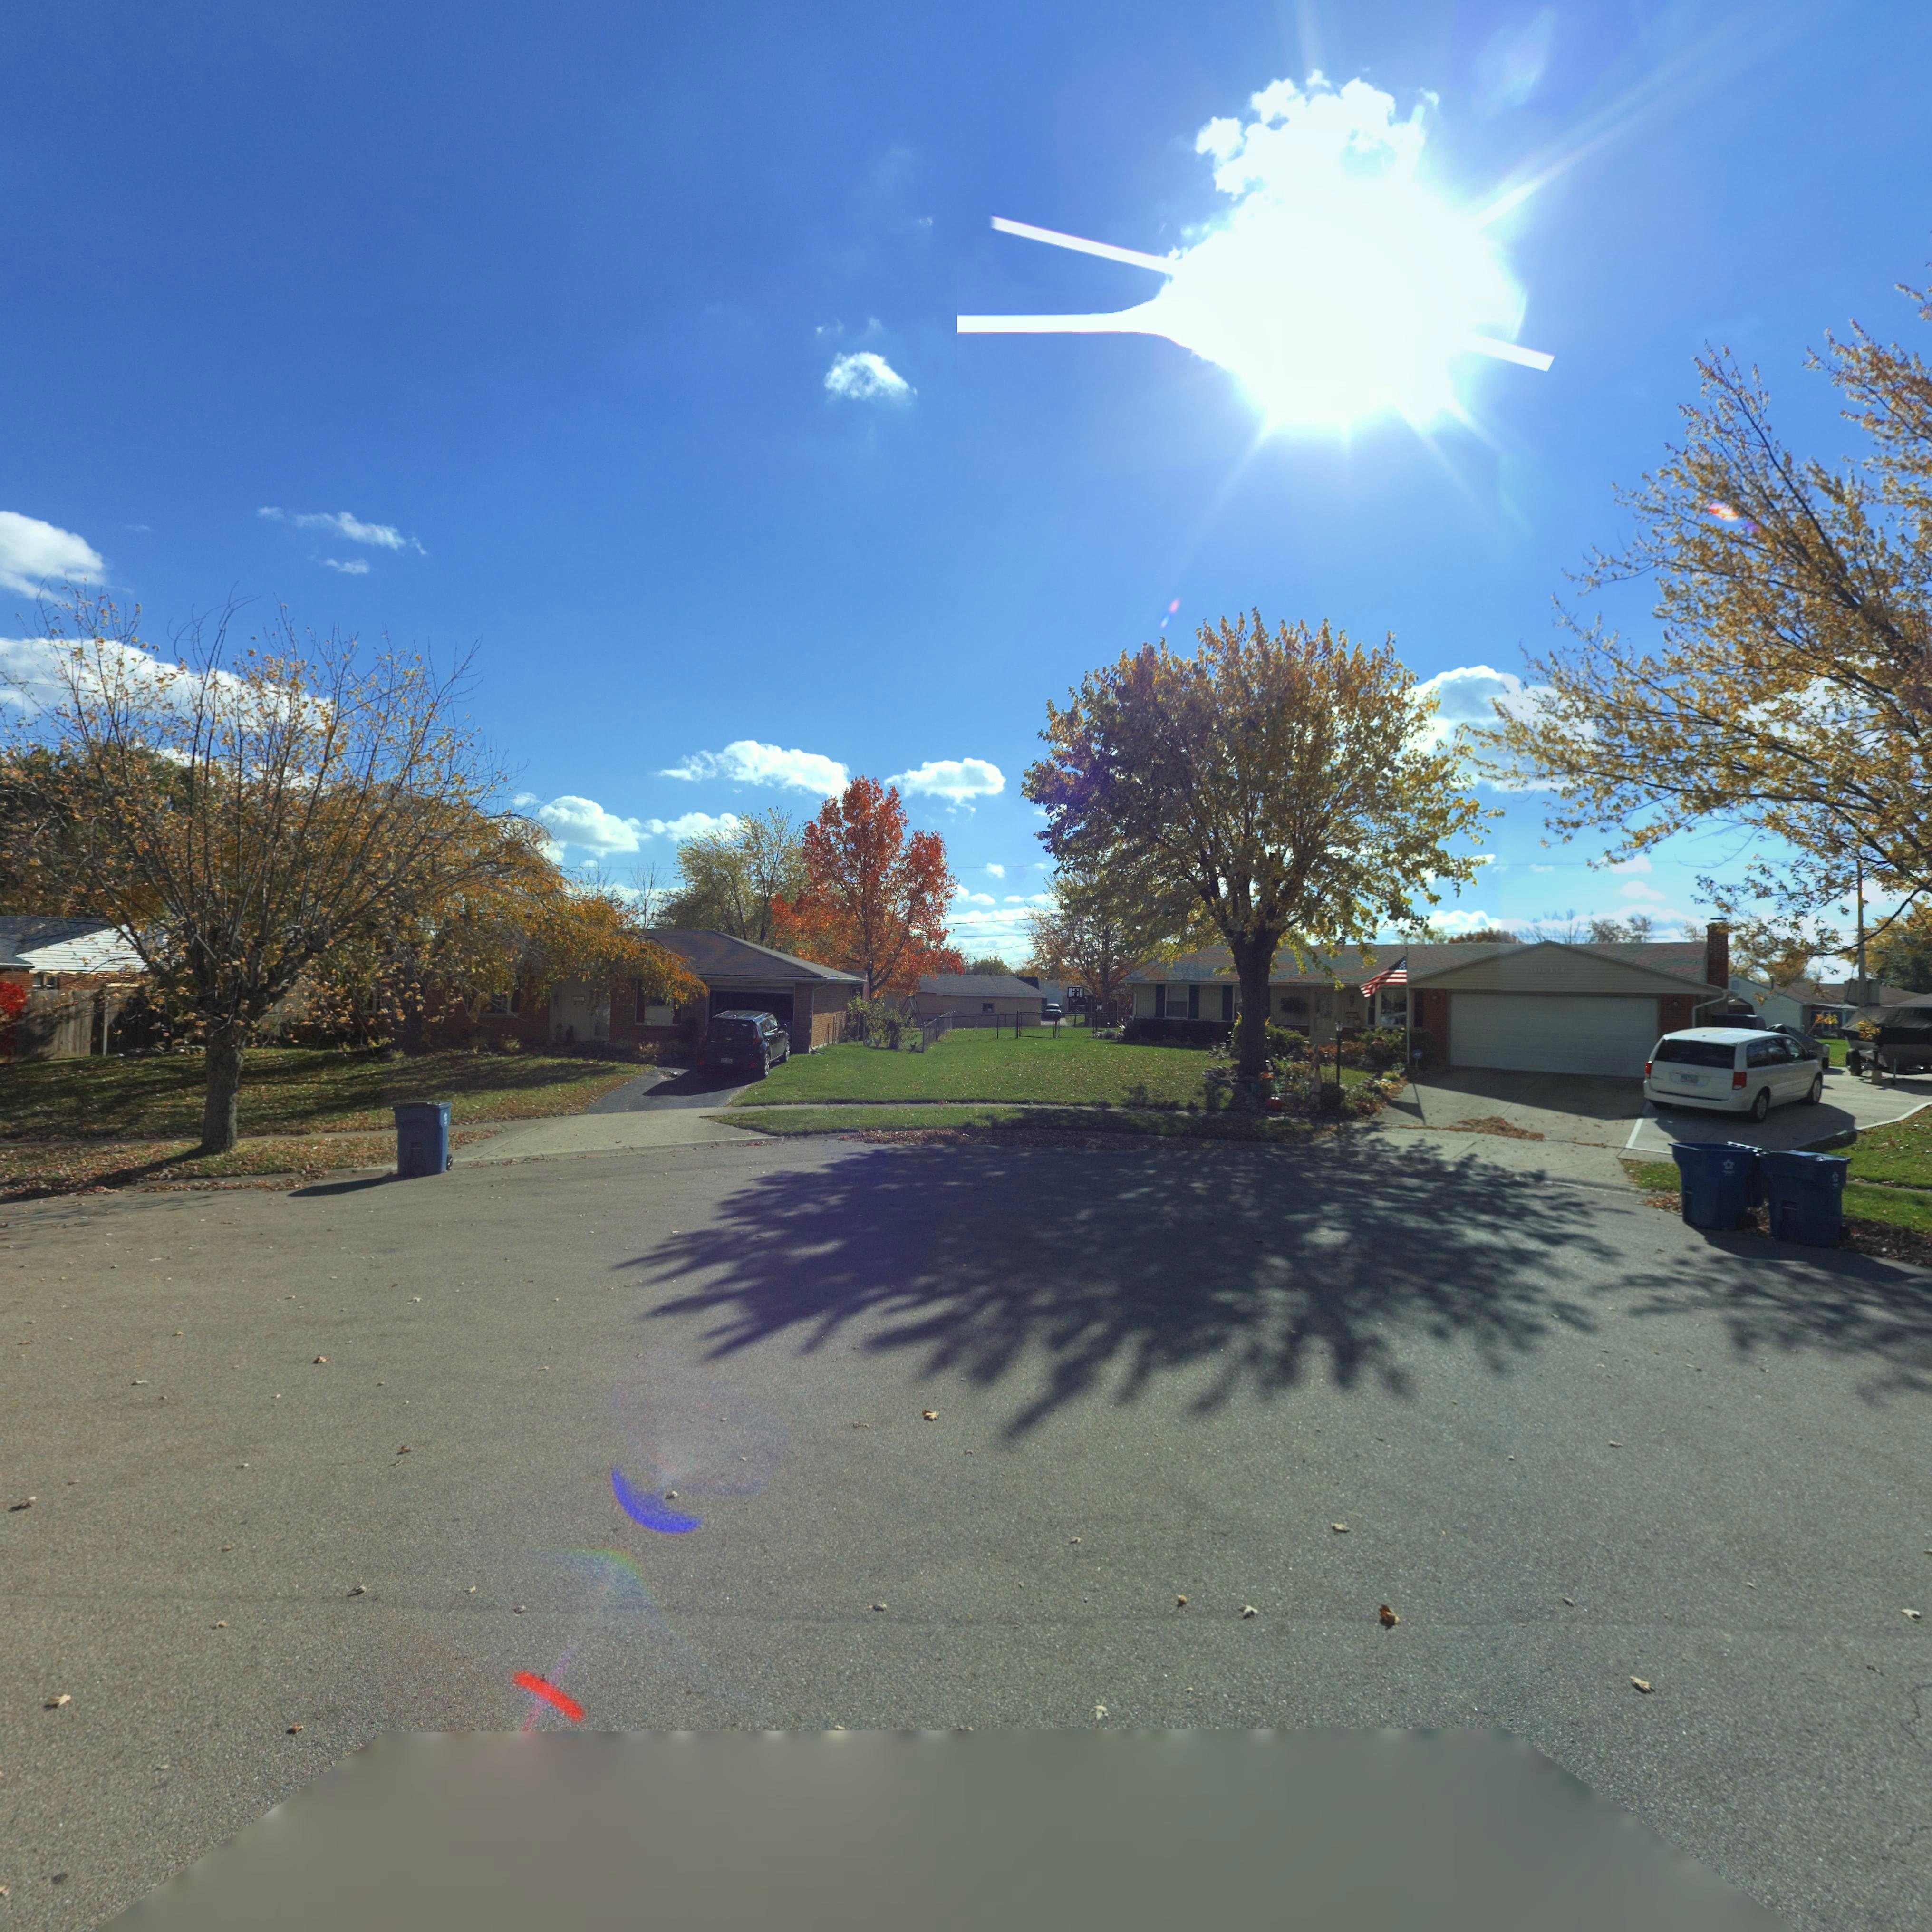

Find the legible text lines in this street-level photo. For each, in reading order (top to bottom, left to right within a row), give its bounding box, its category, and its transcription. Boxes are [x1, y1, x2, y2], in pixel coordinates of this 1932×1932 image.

[1528, 966, 1565, 974] StreetNumber: 6640